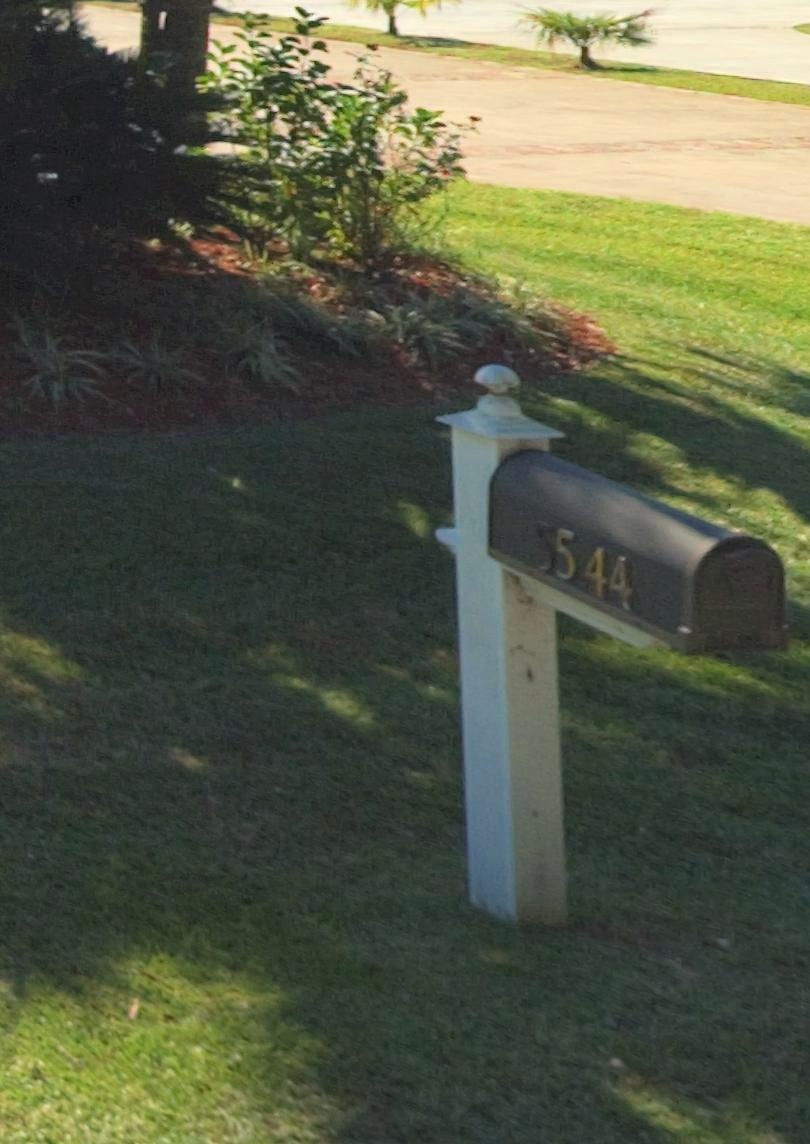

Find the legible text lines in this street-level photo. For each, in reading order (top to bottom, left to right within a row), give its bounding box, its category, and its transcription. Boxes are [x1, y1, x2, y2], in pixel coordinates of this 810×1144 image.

[530, 511, 639, 622] StreetNumber: 5544